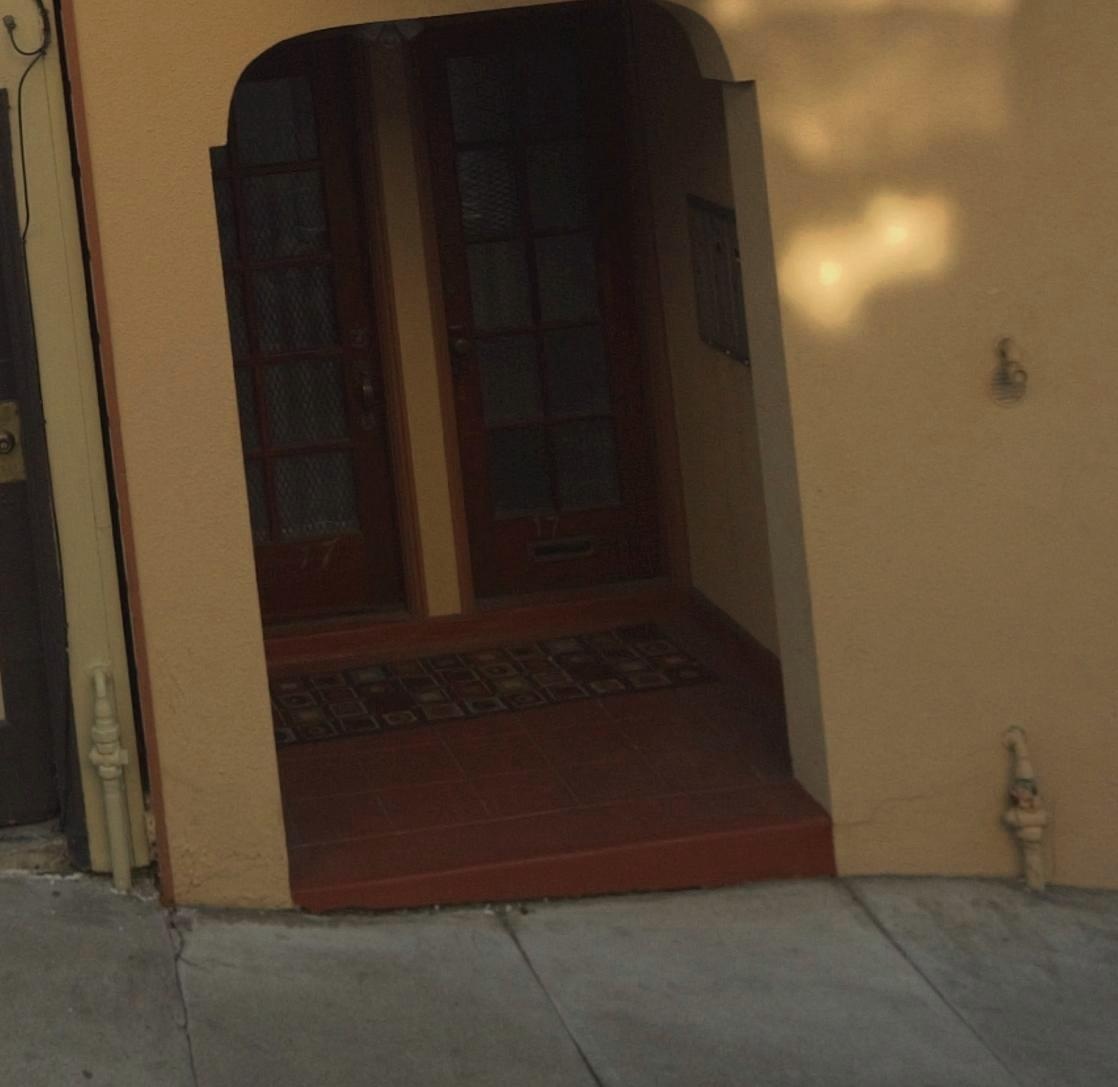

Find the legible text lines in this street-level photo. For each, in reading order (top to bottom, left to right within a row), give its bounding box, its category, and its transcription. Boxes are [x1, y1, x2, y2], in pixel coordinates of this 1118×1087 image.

[529, 511, 562, 544] StreetNumber: 17
[296, 535, 341, 576] StreetNumber: 17